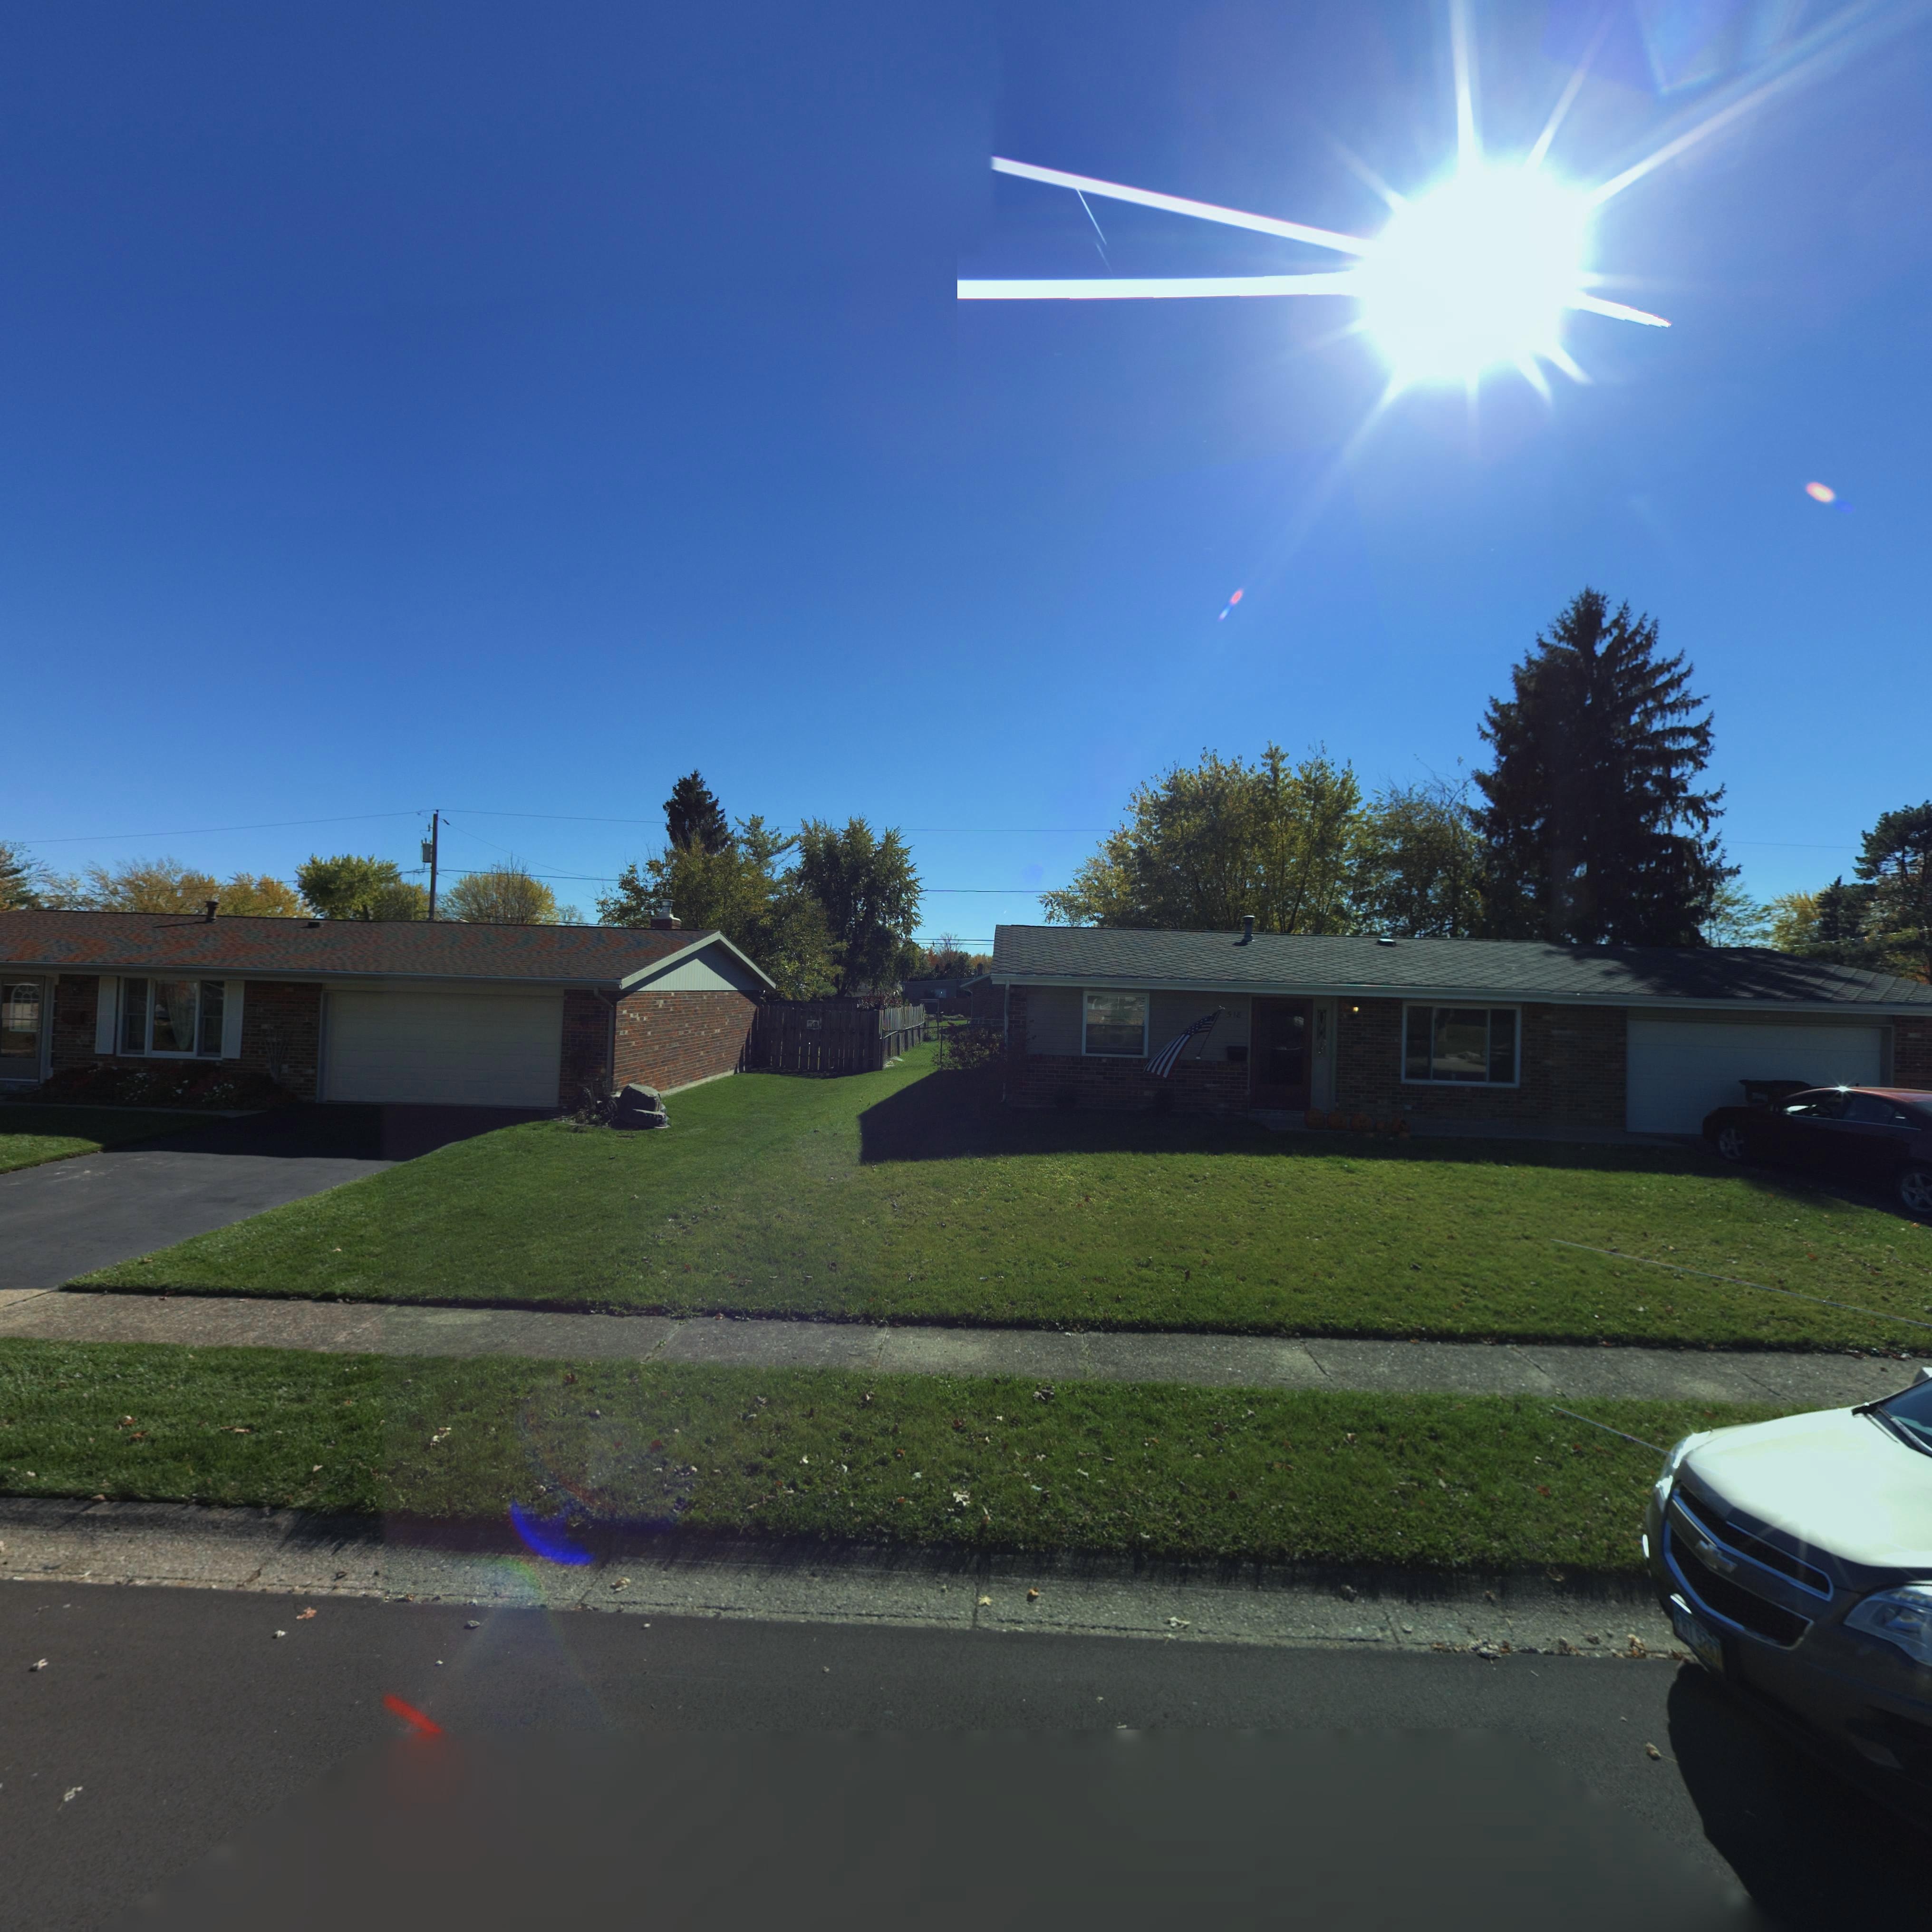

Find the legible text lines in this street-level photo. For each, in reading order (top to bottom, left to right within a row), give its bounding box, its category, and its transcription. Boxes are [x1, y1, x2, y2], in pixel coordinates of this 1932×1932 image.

[1226, 1011, 1242, 1018] StreetNumber: 518